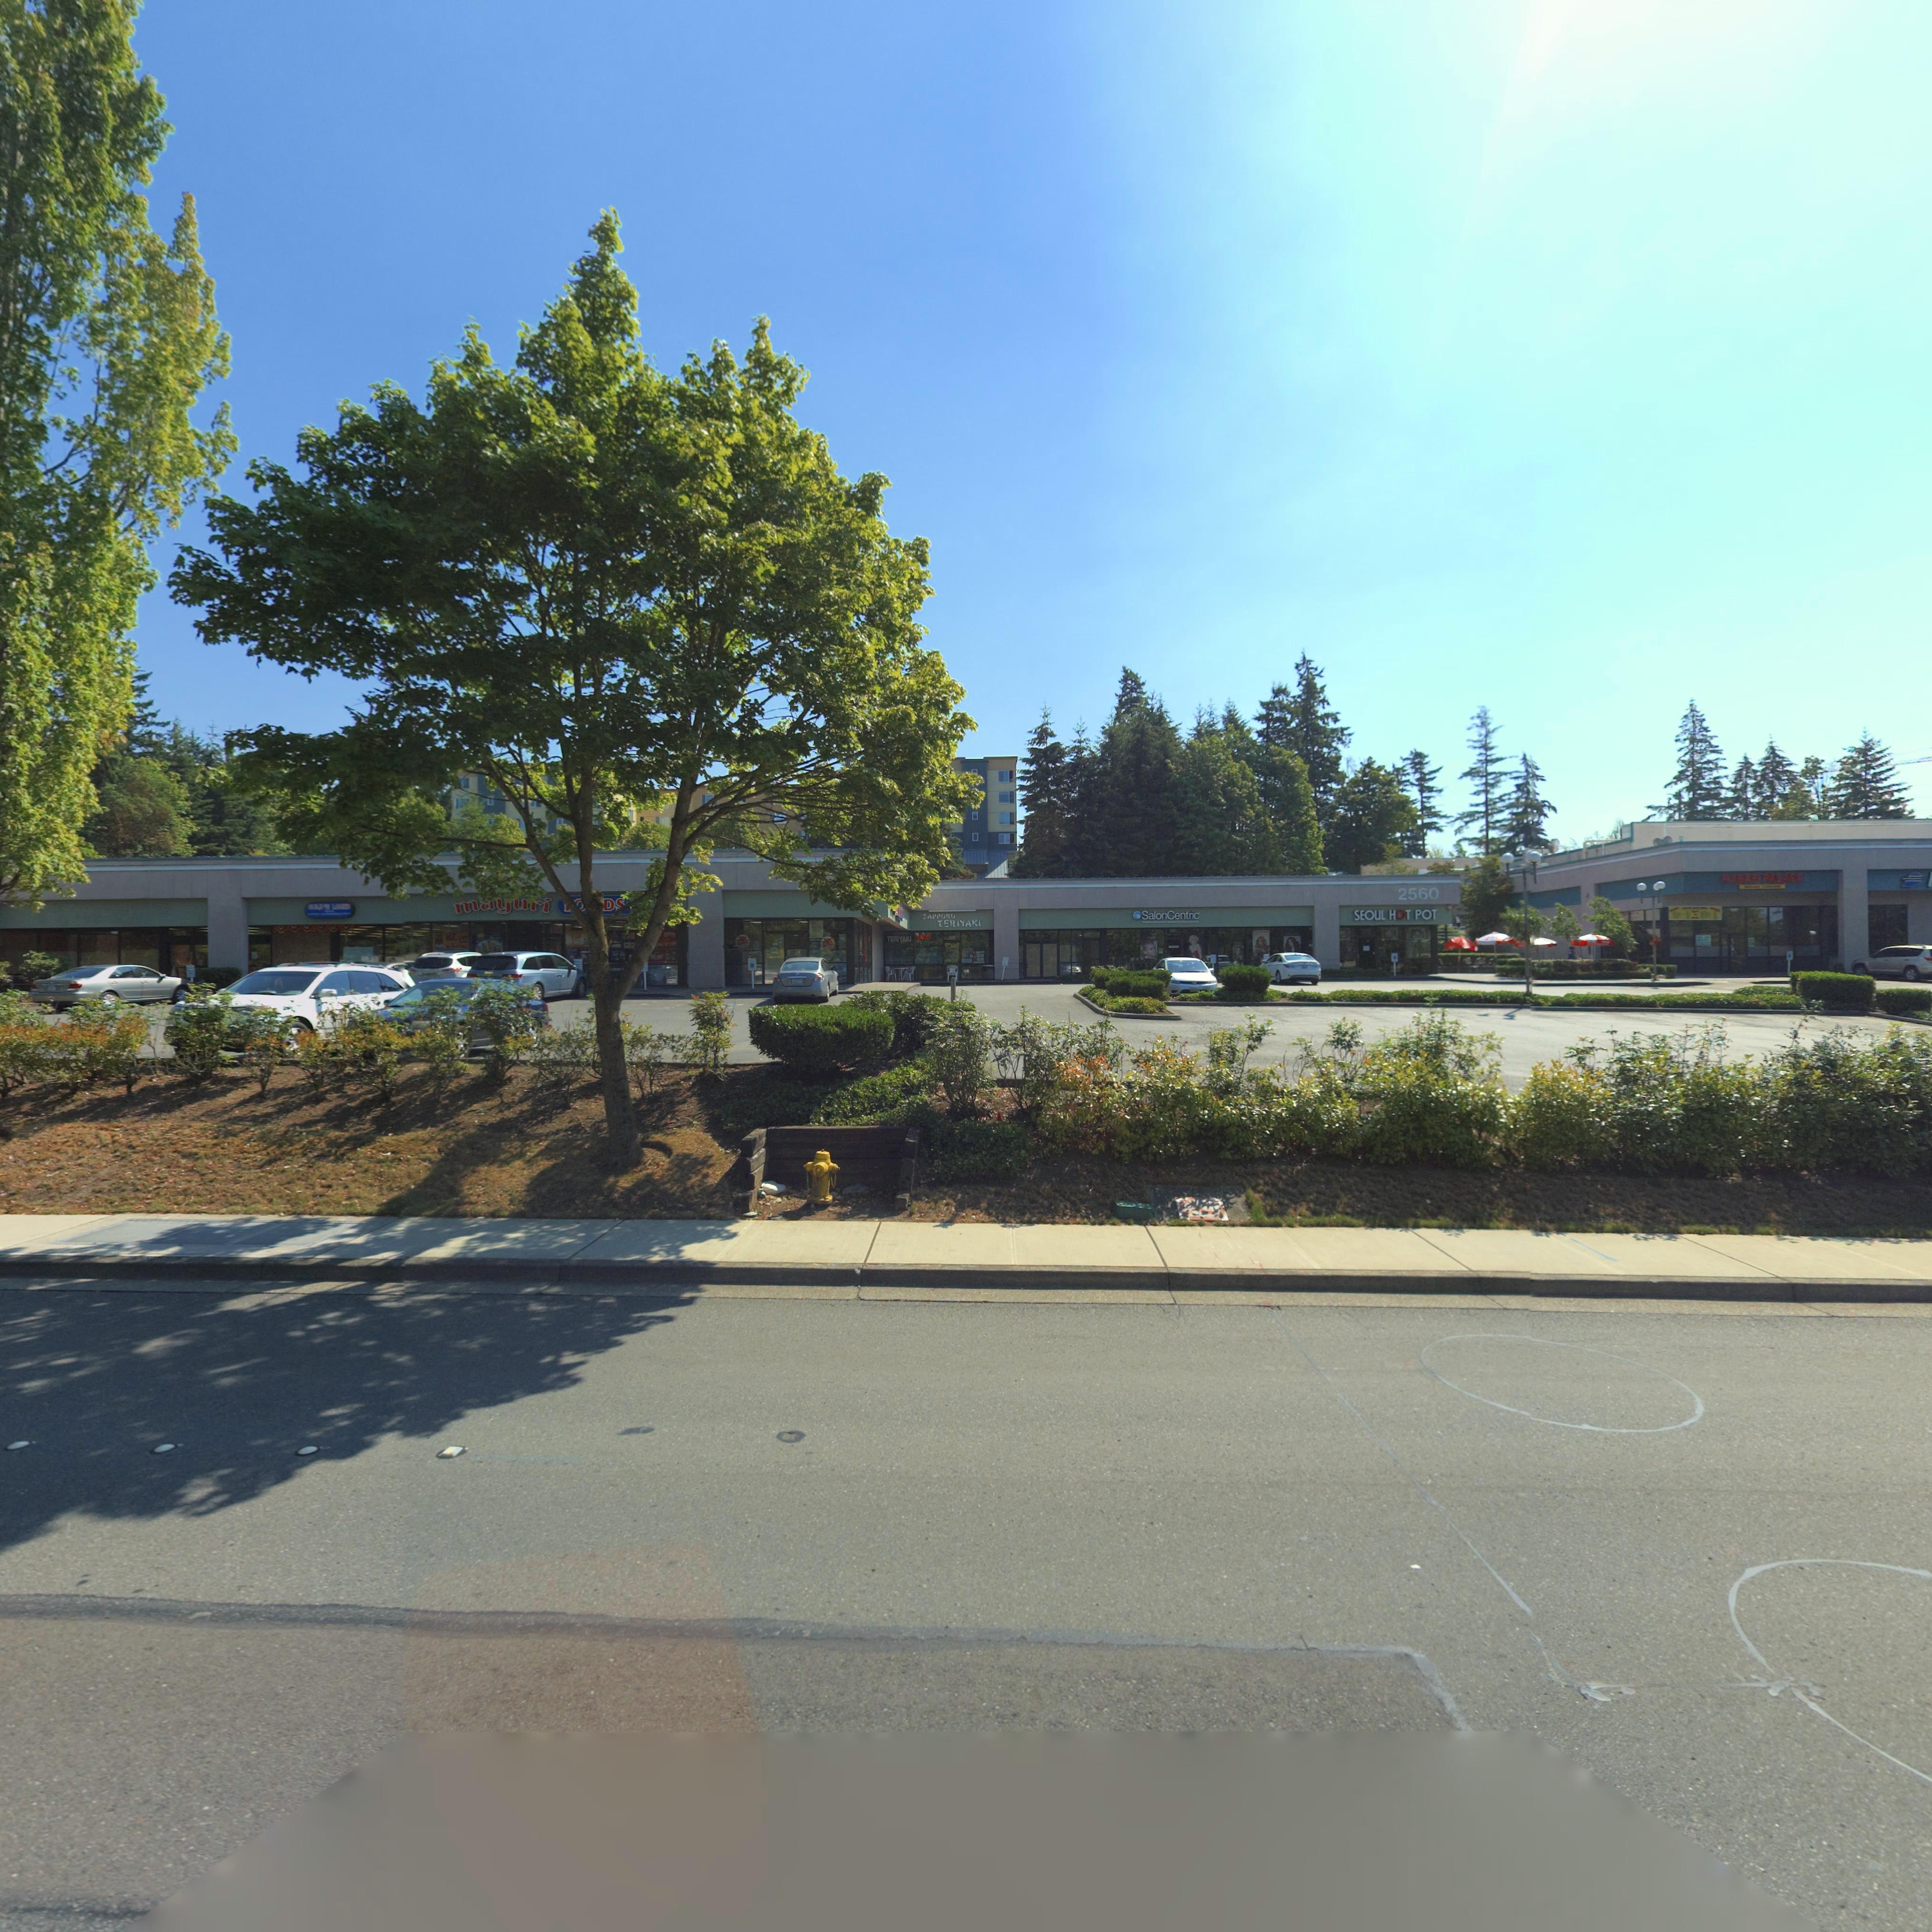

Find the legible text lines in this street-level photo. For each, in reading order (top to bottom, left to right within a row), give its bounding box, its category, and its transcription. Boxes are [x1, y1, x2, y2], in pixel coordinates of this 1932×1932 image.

[1398, 887, 1439, 900] StreetNumber: 2560
[454, 900, 480, 915] BusinessName: m
[541, 898, 553, 914] BusinessName: i
[922, 913, 955, 919] BusinessName: SAPPORO
[1141, 910, 1199, 920] BusinessName: SalonCentric
[1354, 909, 1437, 920] BusinessName: SEOUL HOT POT
[937, 919, 981, 927] BusinessName: TERIYAKI